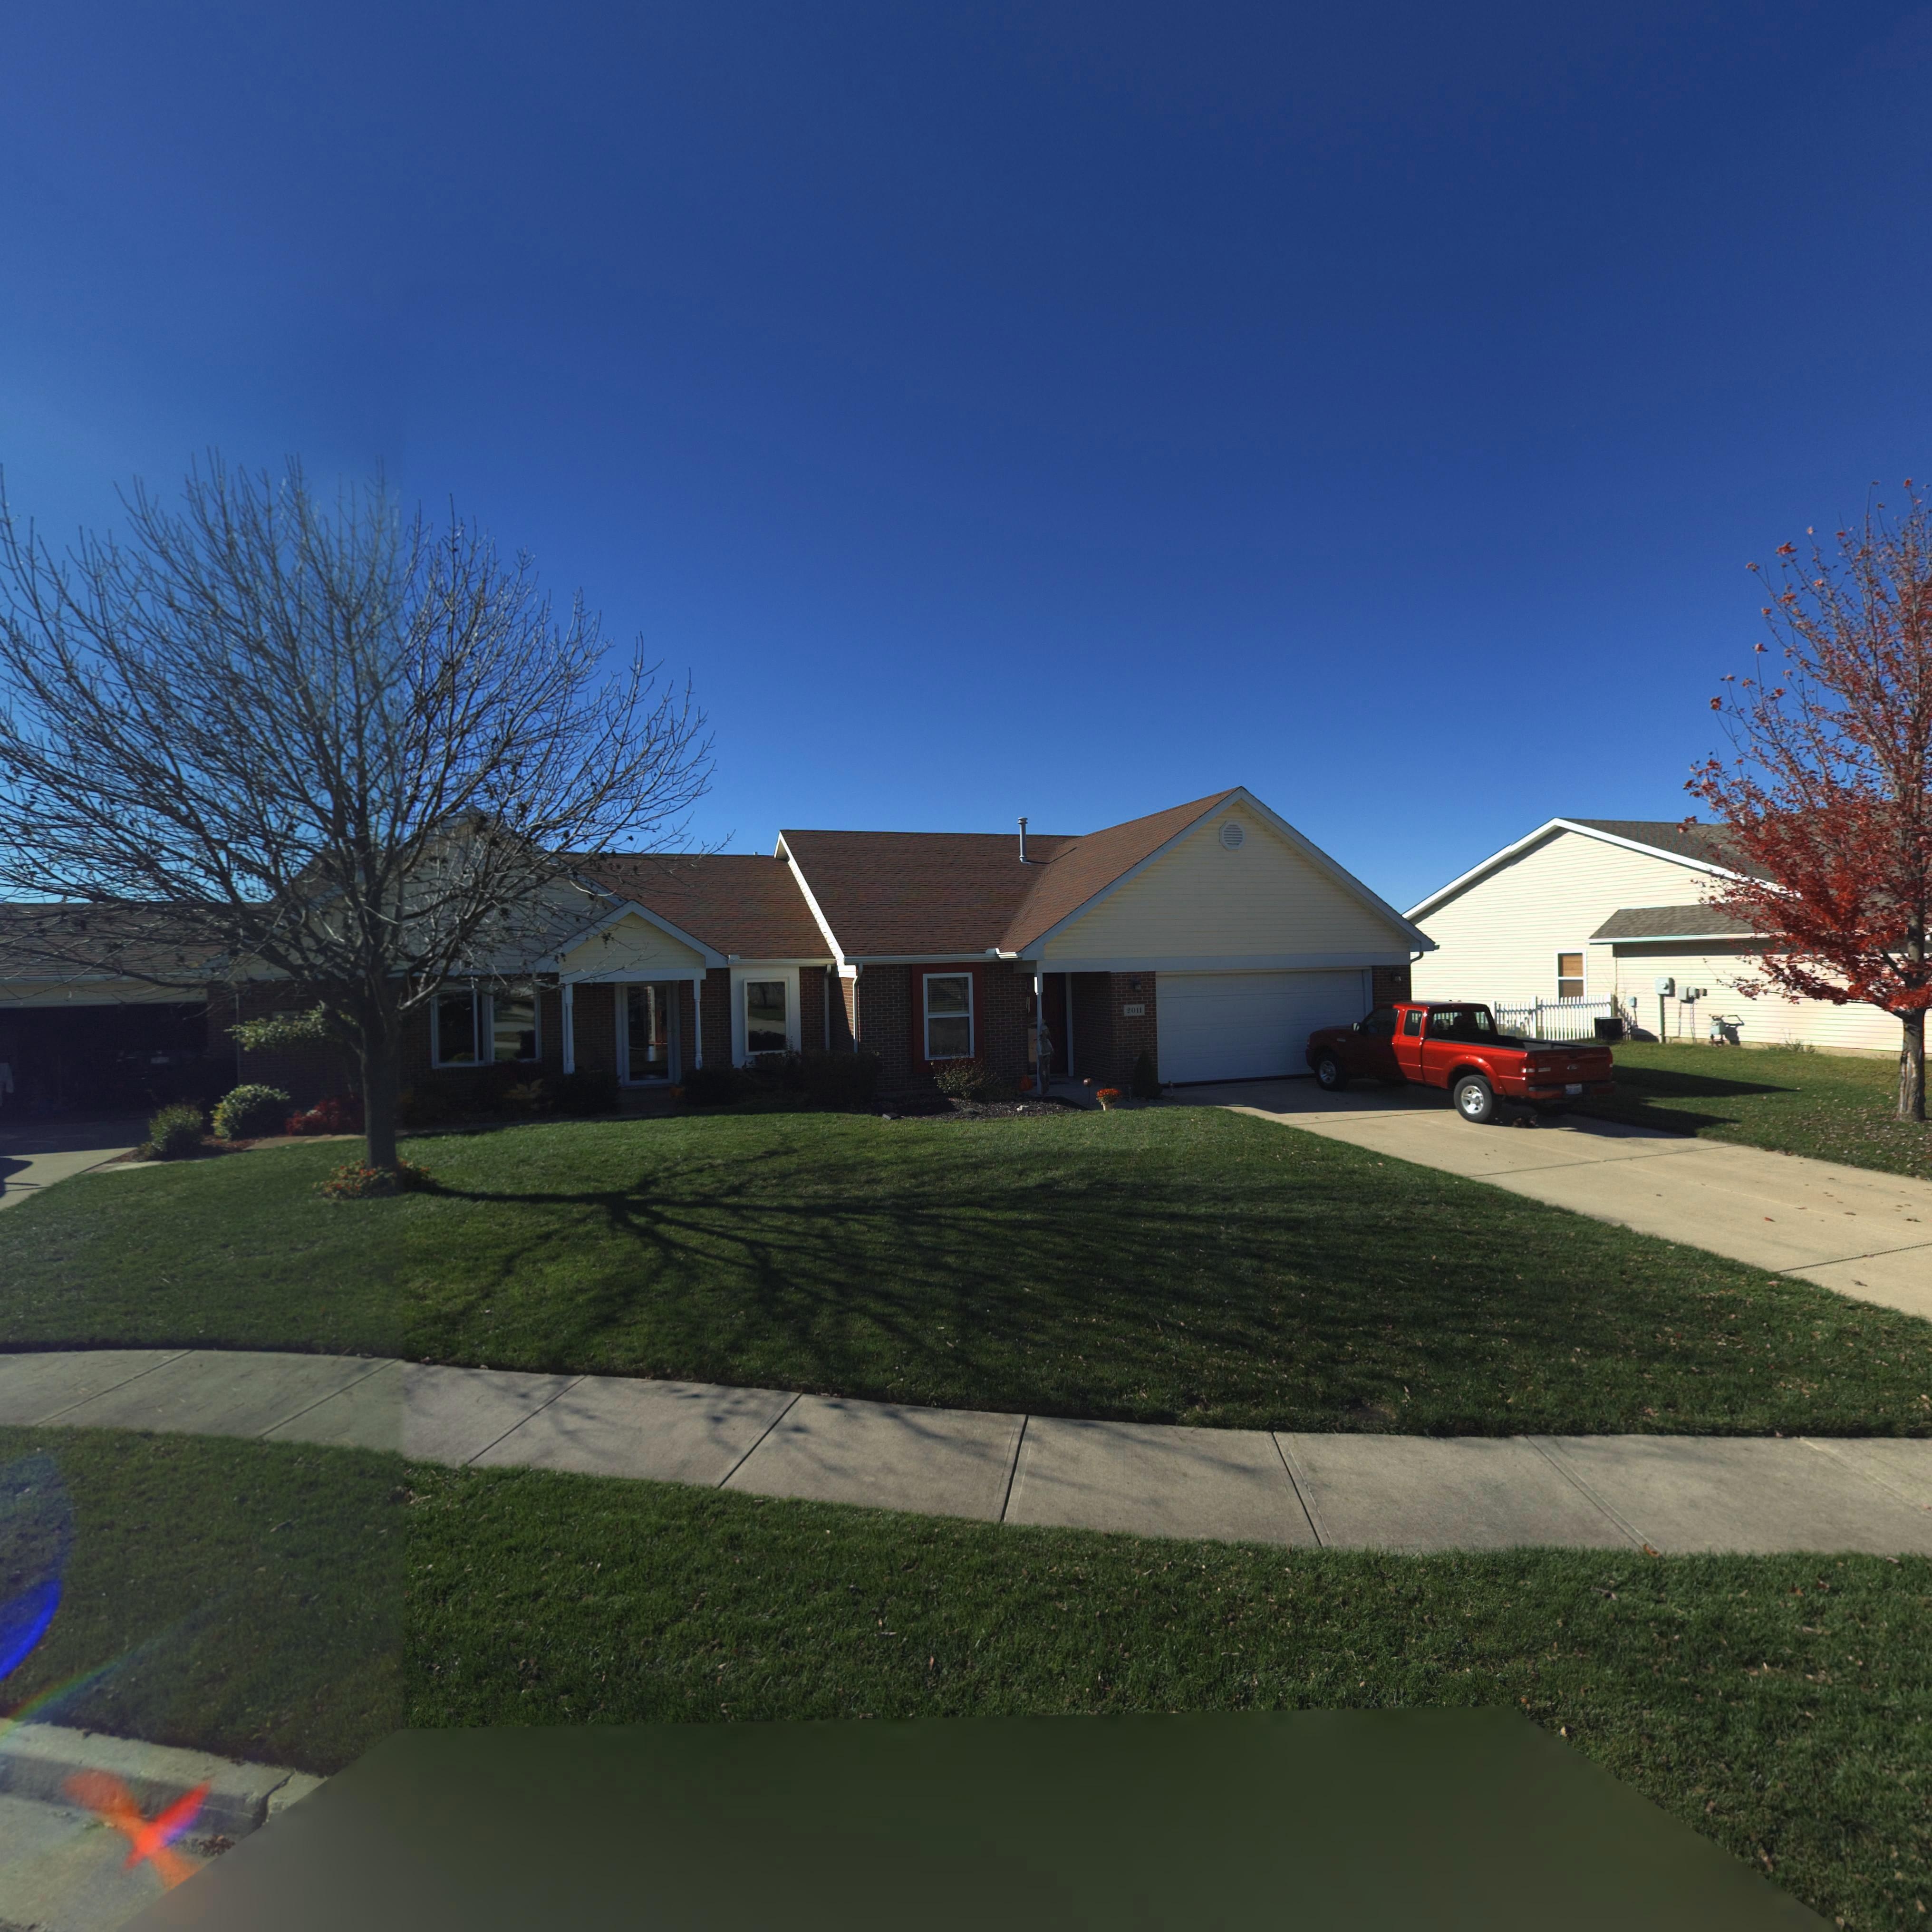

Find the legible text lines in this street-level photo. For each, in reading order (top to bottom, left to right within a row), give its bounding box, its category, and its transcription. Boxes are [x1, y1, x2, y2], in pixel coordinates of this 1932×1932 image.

[1126, 1006, 1142, 1014] StreetNumber: 2011